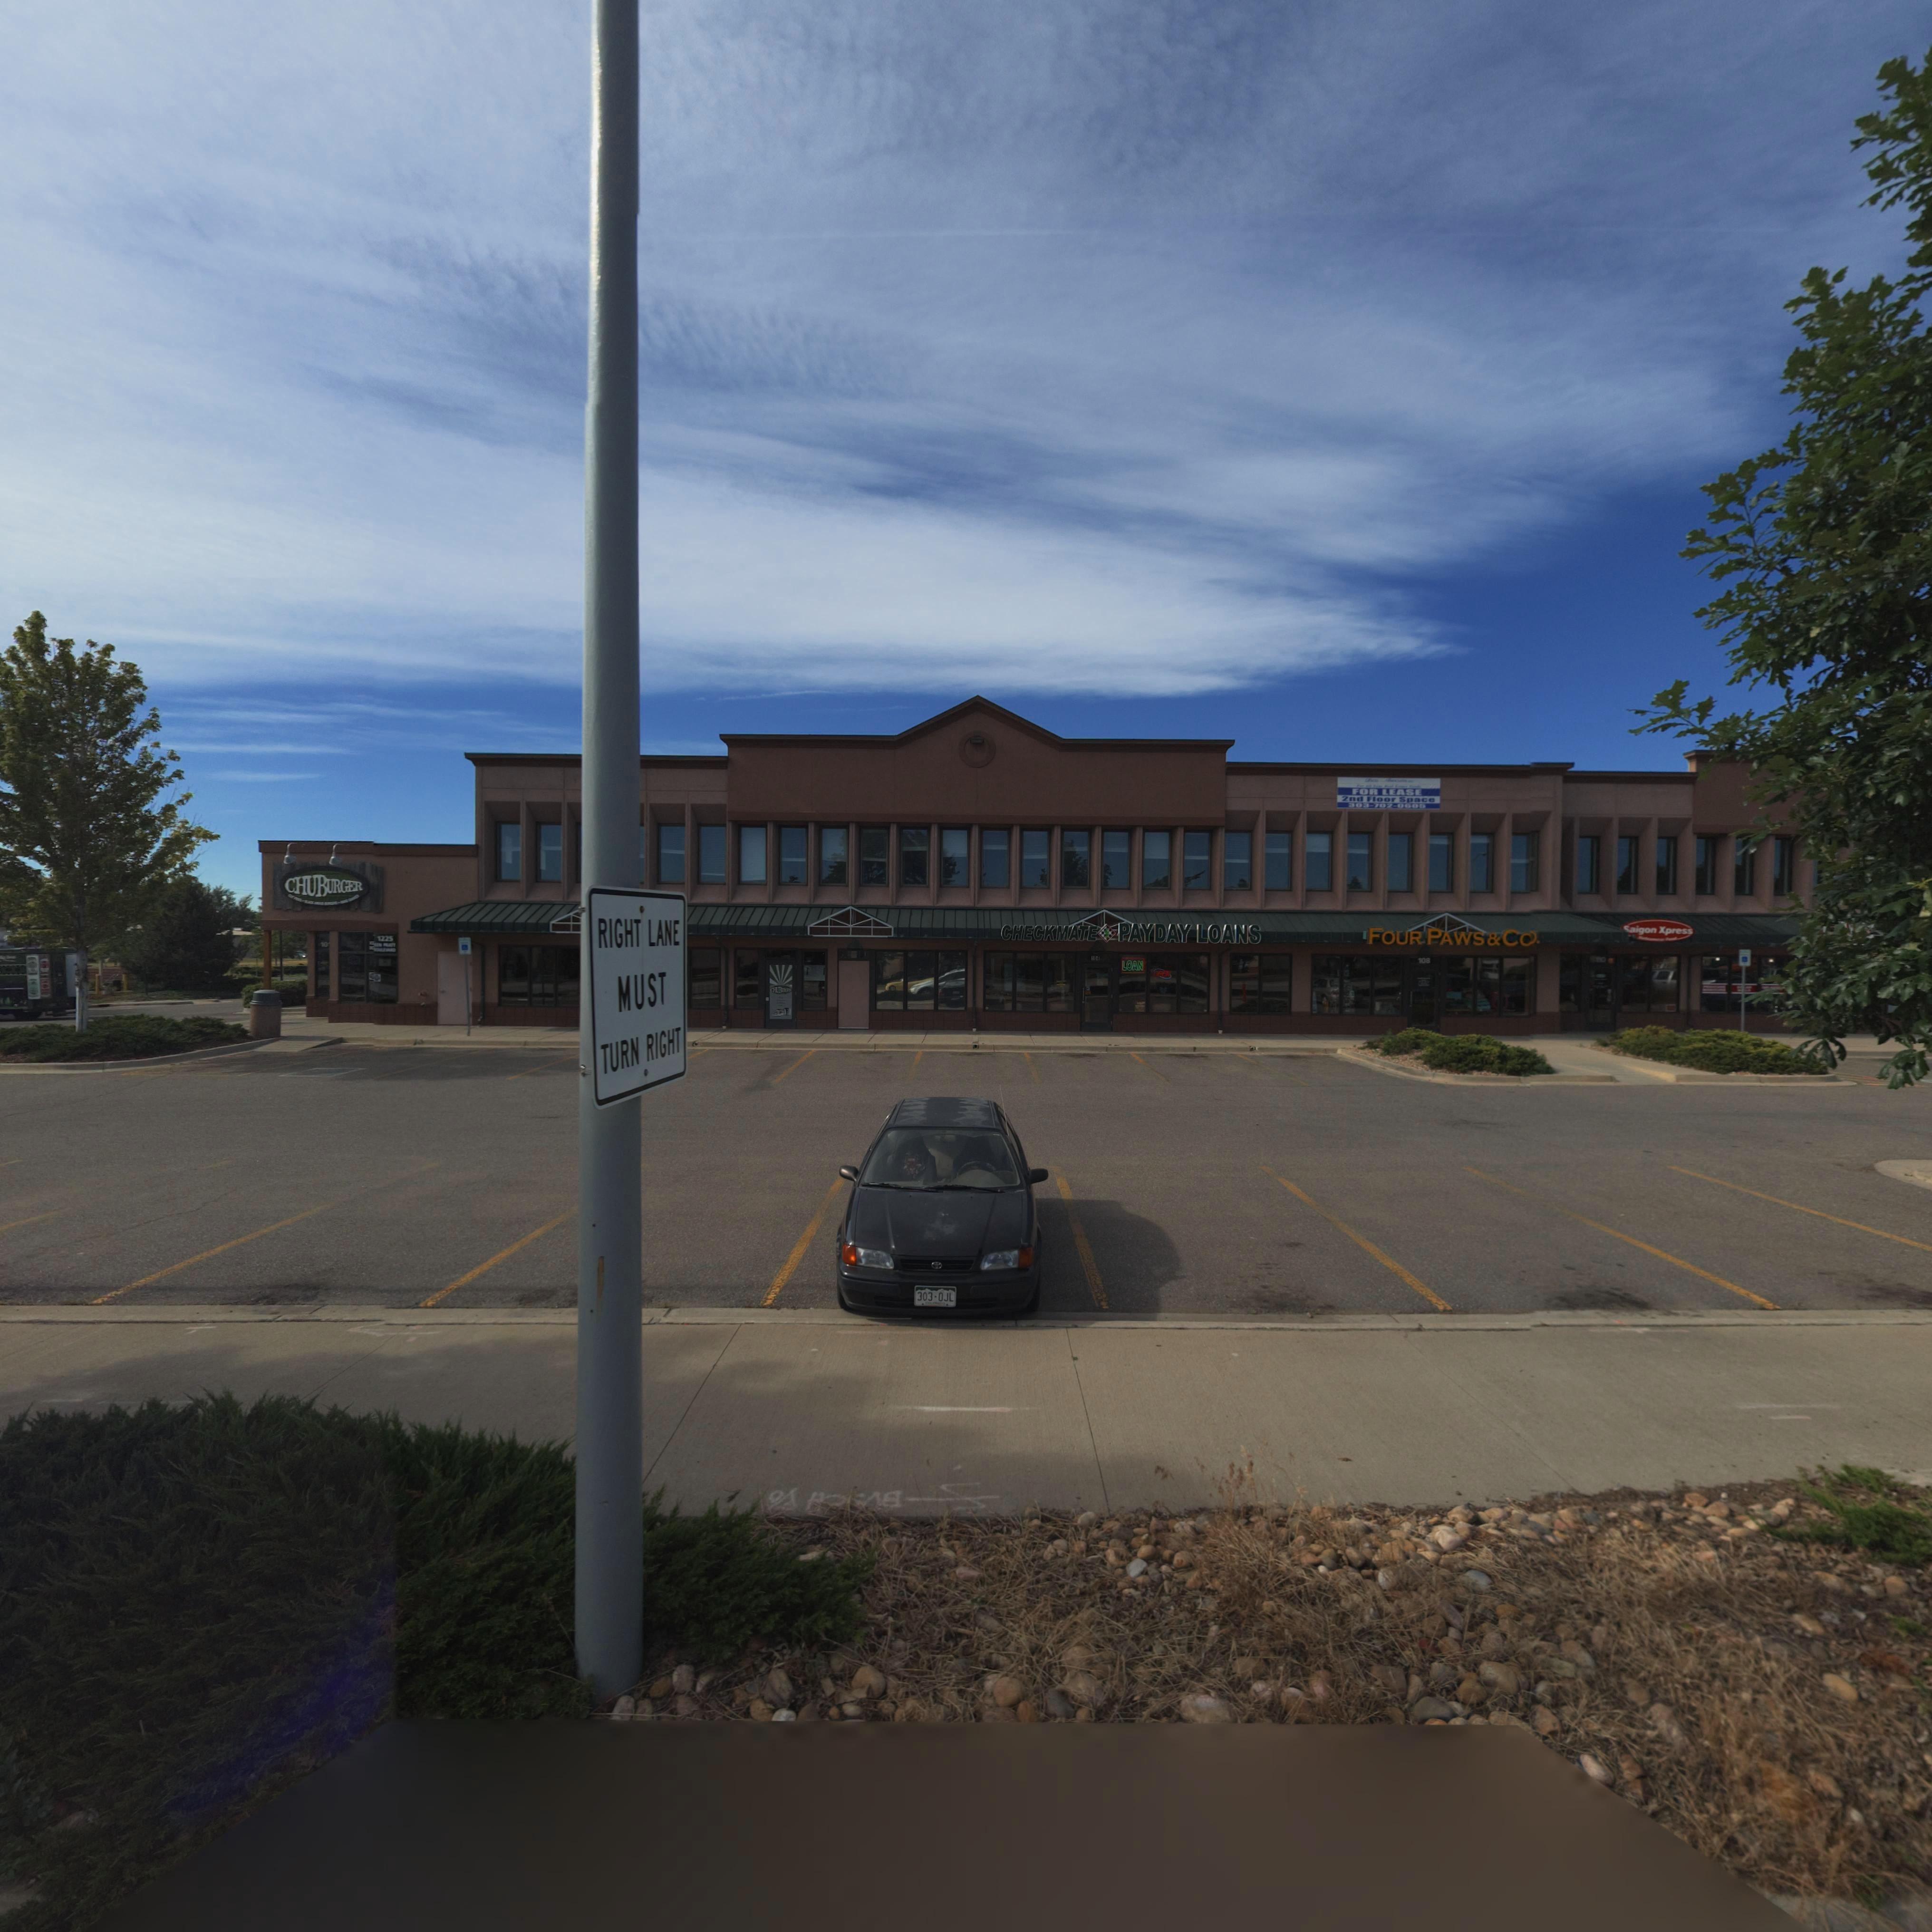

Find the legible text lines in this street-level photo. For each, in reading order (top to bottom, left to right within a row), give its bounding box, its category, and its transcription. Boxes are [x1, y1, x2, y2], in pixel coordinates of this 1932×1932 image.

[283, 874, 363, 897] BusinessName: CHUBURGER
[377, 936, 393, 942] StreetNumber: 1225
[1001, 922, 1261, 944] BusinessName: CHECKMATE*PAYDAY LOANS
[1367, 927, 1537, 944] BusinessName: FOUR PAWS *CO
[1623, 925, 1693, 936] None: *aigon Xpress
[1091, 956, 1100, 960] StreetNumber: 104
[1417, 957, 1430, 963] StreetNumber: 108
[770, 986, 791, 993] None: CHUB*